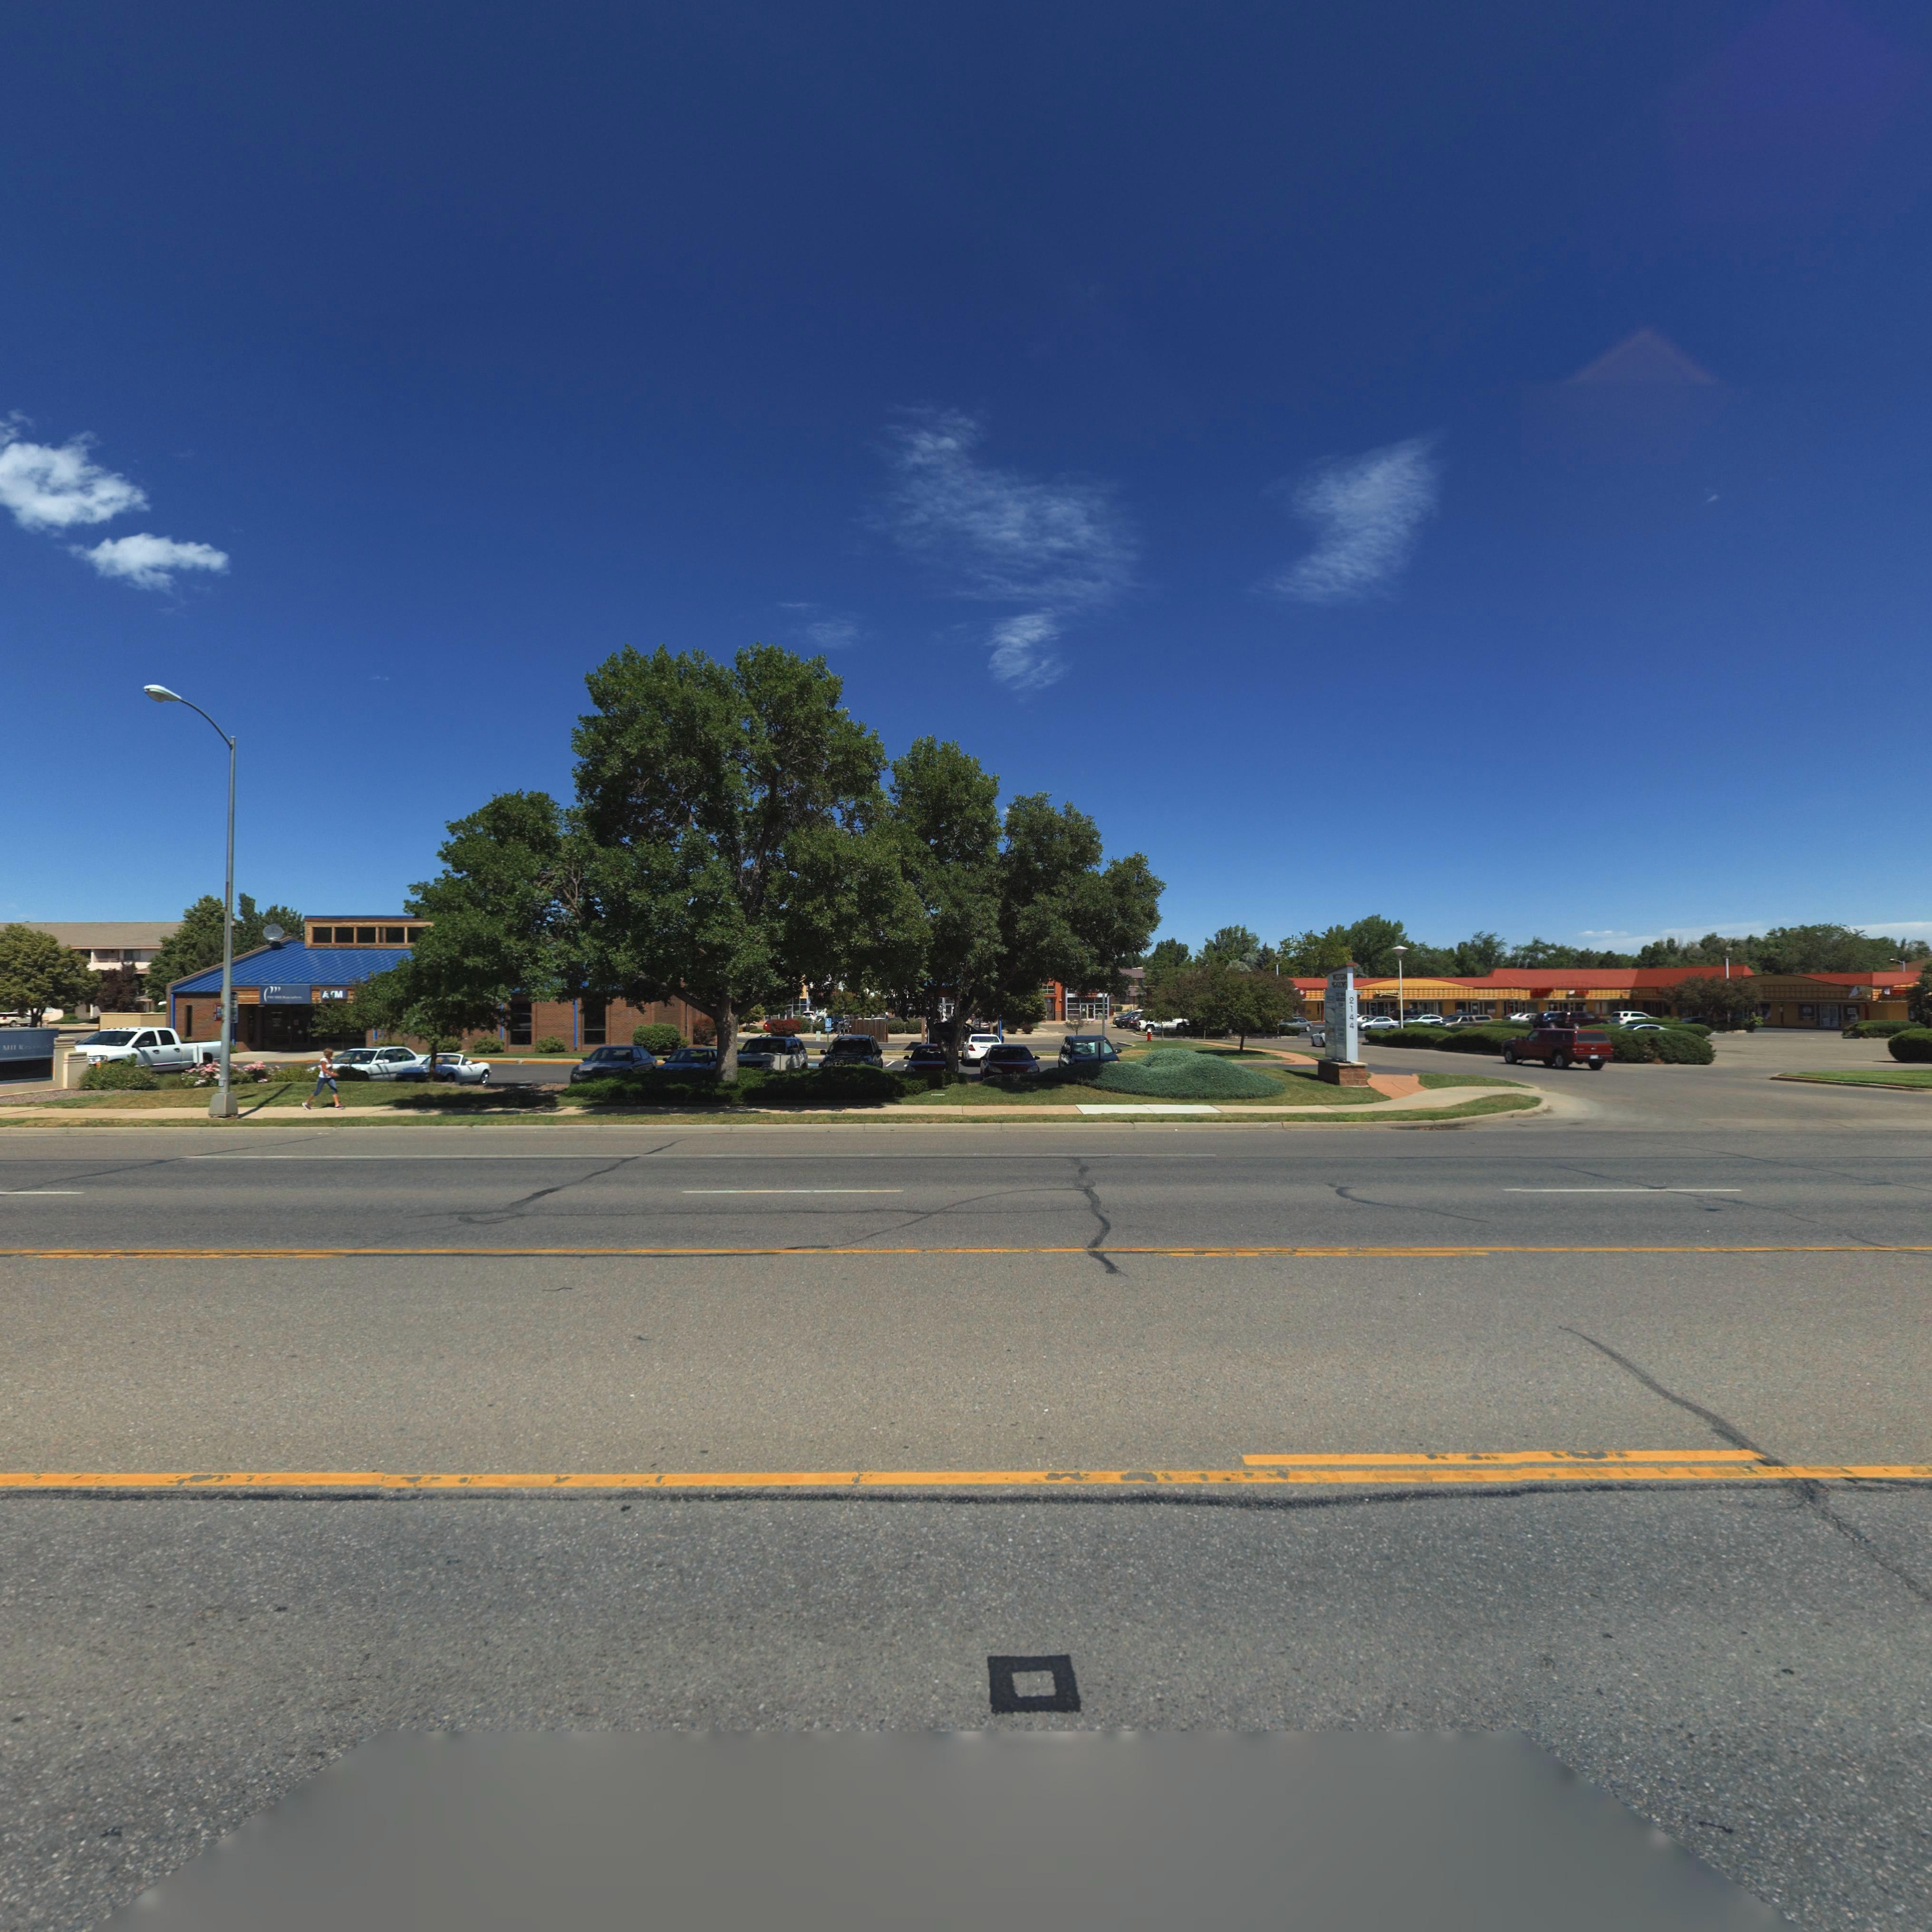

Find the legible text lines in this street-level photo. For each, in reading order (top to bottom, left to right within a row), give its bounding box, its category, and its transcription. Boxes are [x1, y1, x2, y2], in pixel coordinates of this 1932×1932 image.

[322, 990, 343, 998] StreetNumber: 2144